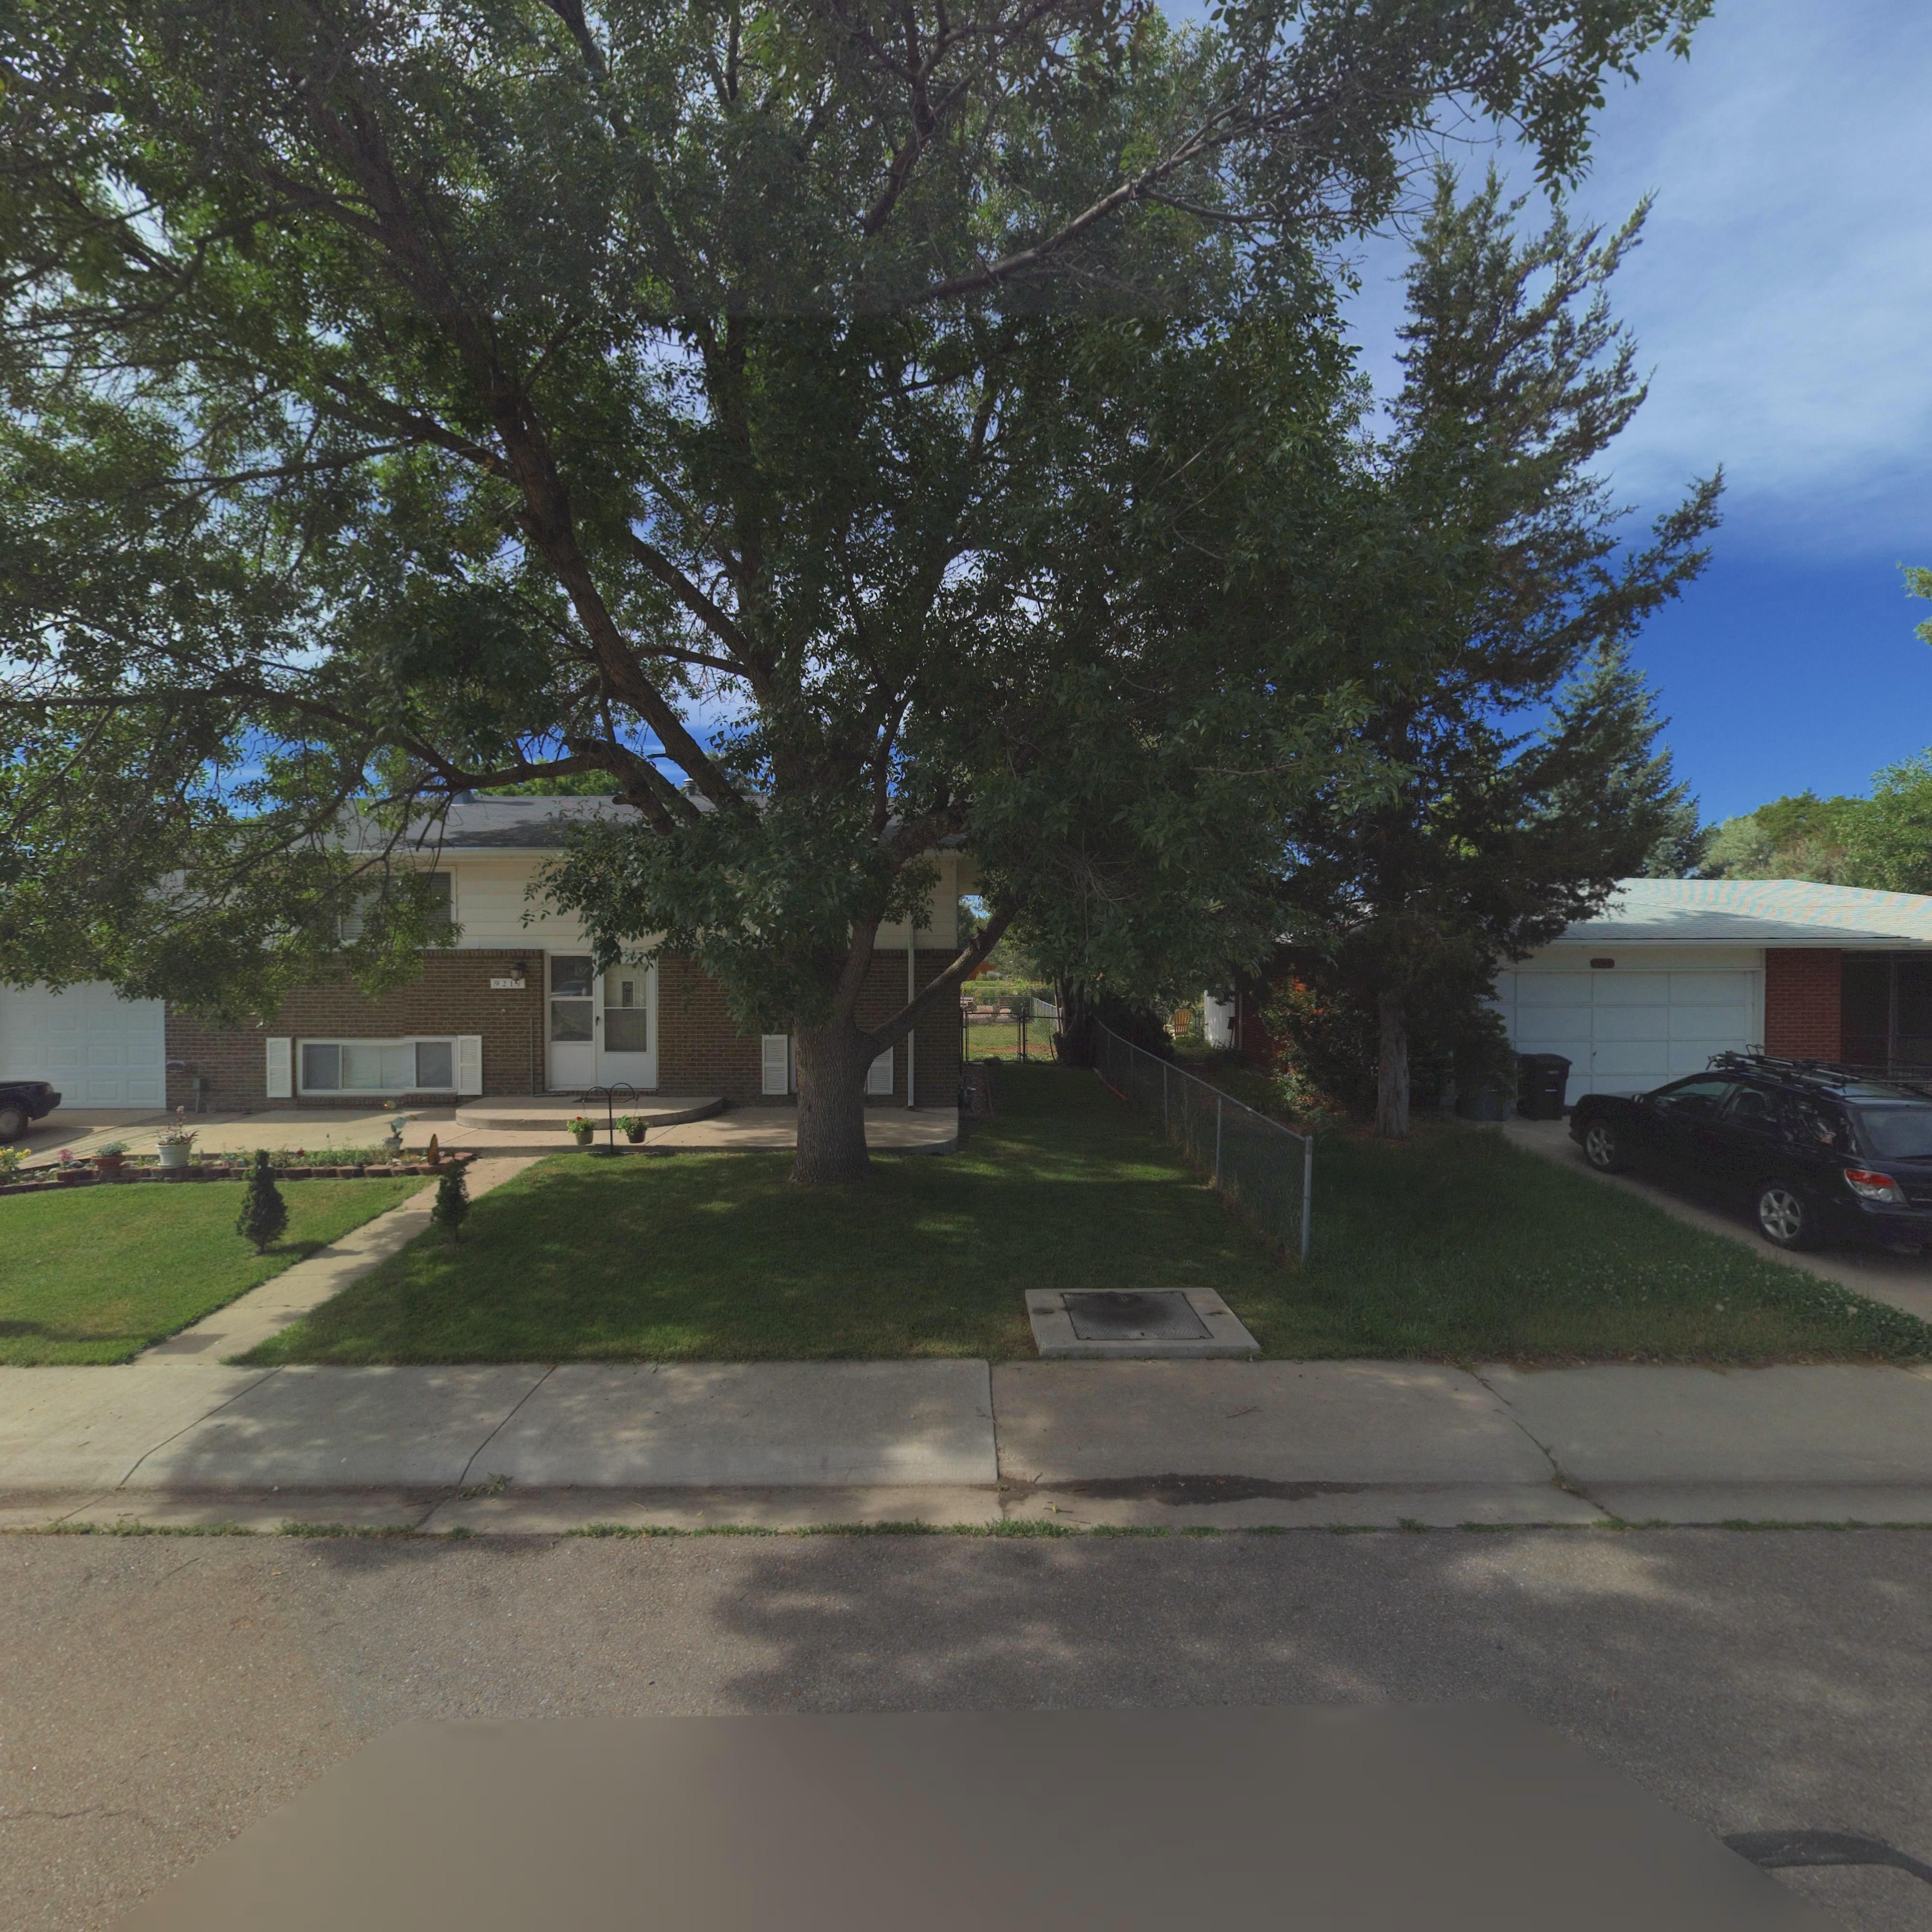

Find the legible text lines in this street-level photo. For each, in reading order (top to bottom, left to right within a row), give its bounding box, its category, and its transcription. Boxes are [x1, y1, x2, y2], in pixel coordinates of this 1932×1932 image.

[494, 980, 513, 987] StreetNumber: 921